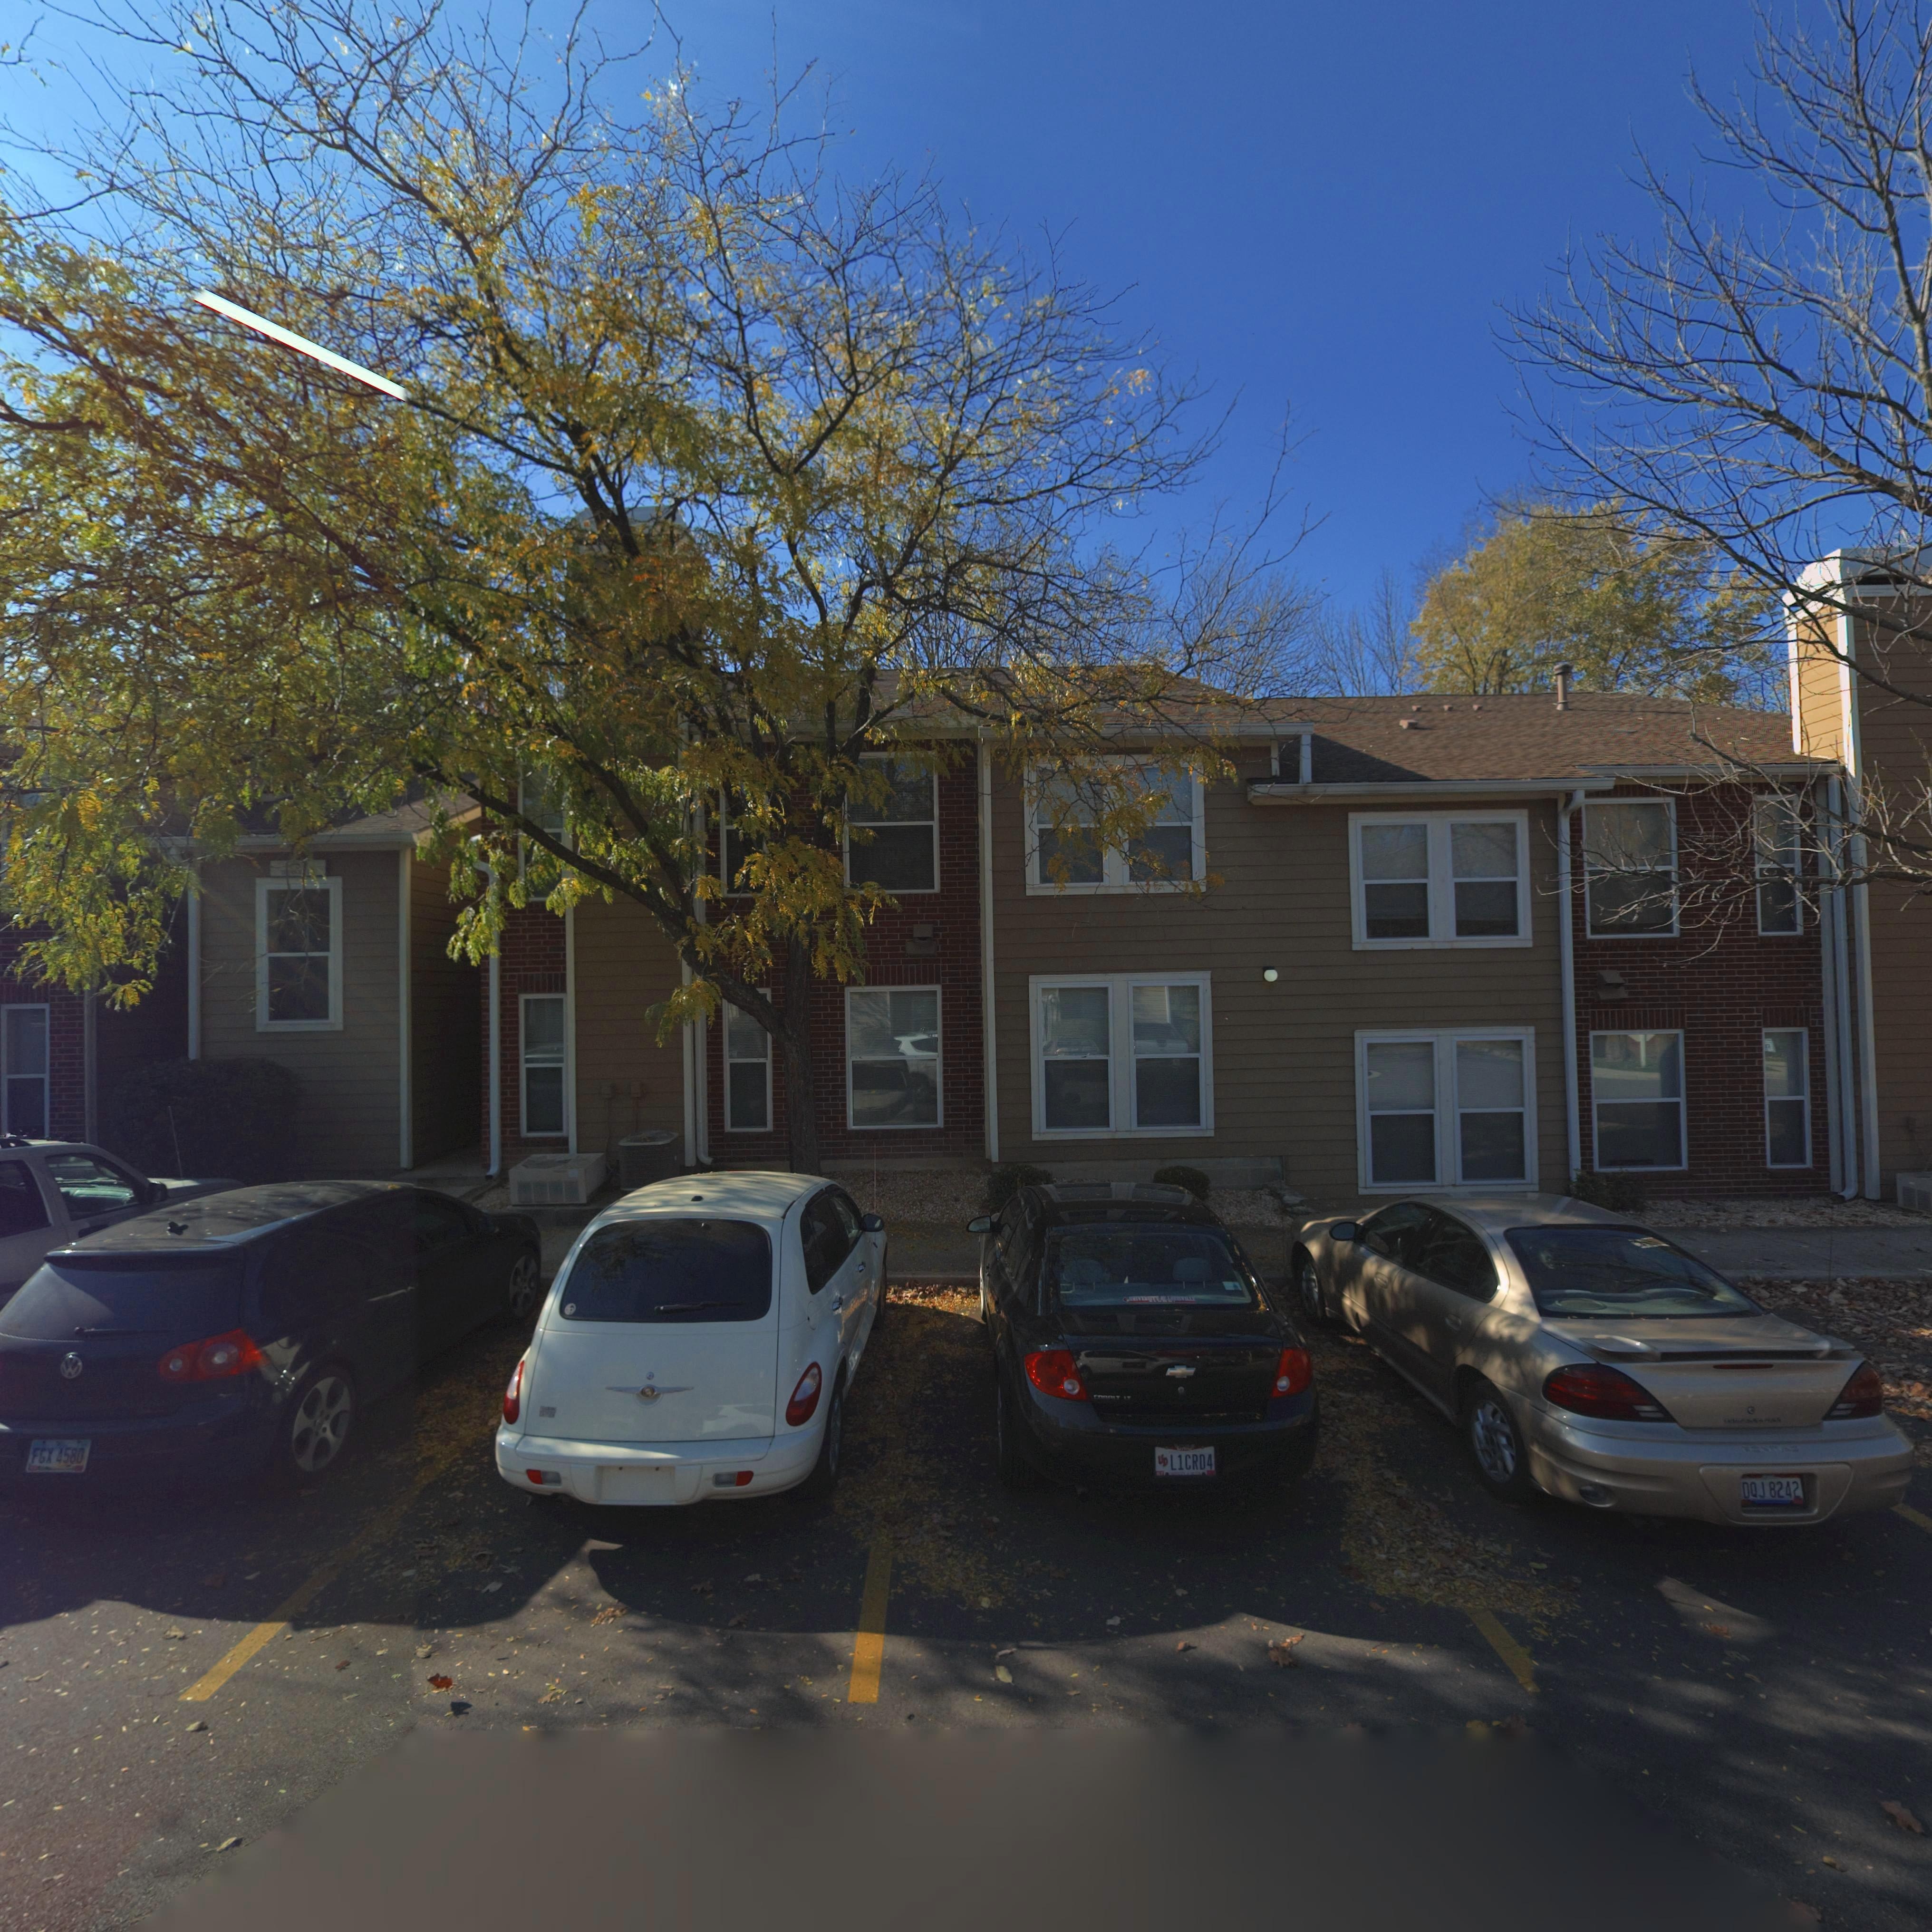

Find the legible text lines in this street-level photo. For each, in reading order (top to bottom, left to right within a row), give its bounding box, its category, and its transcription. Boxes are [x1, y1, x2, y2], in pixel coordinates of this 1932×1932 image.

[1093, 1394, 1132, 1401] None: COBALT LT
[30, 1446, 87, 1465] None: FGX*4580
[1157, 1453, 1169, 1468] None: UD
[1169, 1453, 1213, 1471] None: L1CRD4
[1741, 1480, 1802, 1499] None: DQJ*8242